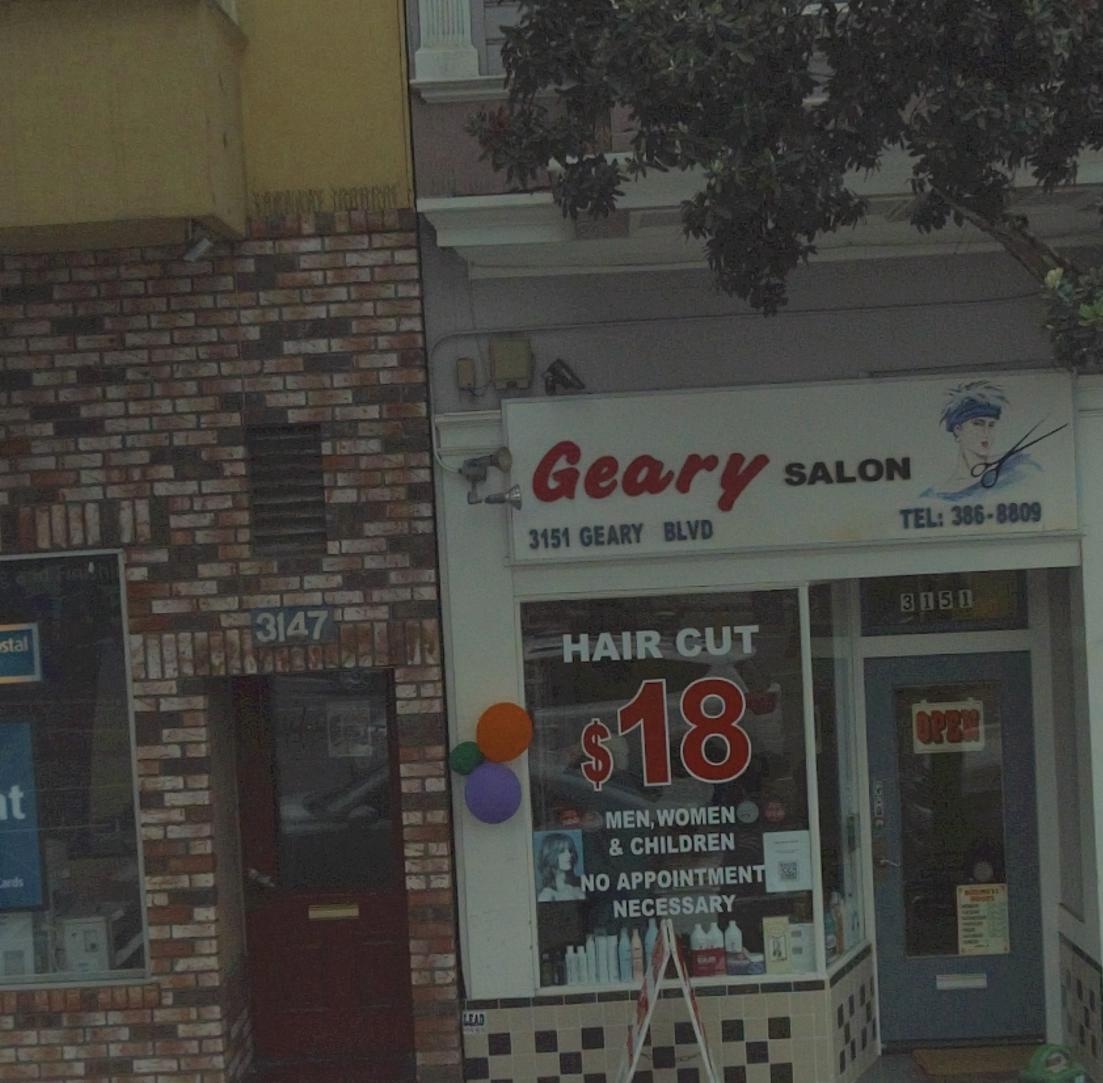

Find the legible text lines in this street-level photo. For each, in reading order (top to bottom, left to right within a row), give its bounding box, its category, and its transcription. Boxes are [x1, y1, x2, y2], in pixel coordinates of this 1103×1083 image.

[531, 437, 773, 514] BusinessName: Geary
[781, 455, 914, 488] BusinessName: SALON
[896, 500, 1044, 531] None: TEL: 386-8809
[528, 526, 572, 552] StreetNumber: 3151
[577, 518, 717, 548] StreetName: GEARY BLVD
[900, 589, 973, 612] StreetNumber: 3151
[254, 608, 331, 645] StreetNumber: 3147
[0, 634, 29, 654] None: stal
[558, 623, 764, 665] None: HAIR CUT
[608, 674, 756, 791] None: 18
[914, 707, 982, 747] None: OPEN
[7, 783, 27, 822] None: t
[602, 803, 738, 832] None: MEN, WOMEN
[605, 831, 737, 860] None: & CHILDREN
[0, 873, 26, 889] None: *ards
[578, 863, 769, 894] None: NO APPOINTMENT
[611, 893, 739, 921] None: NECESSARY